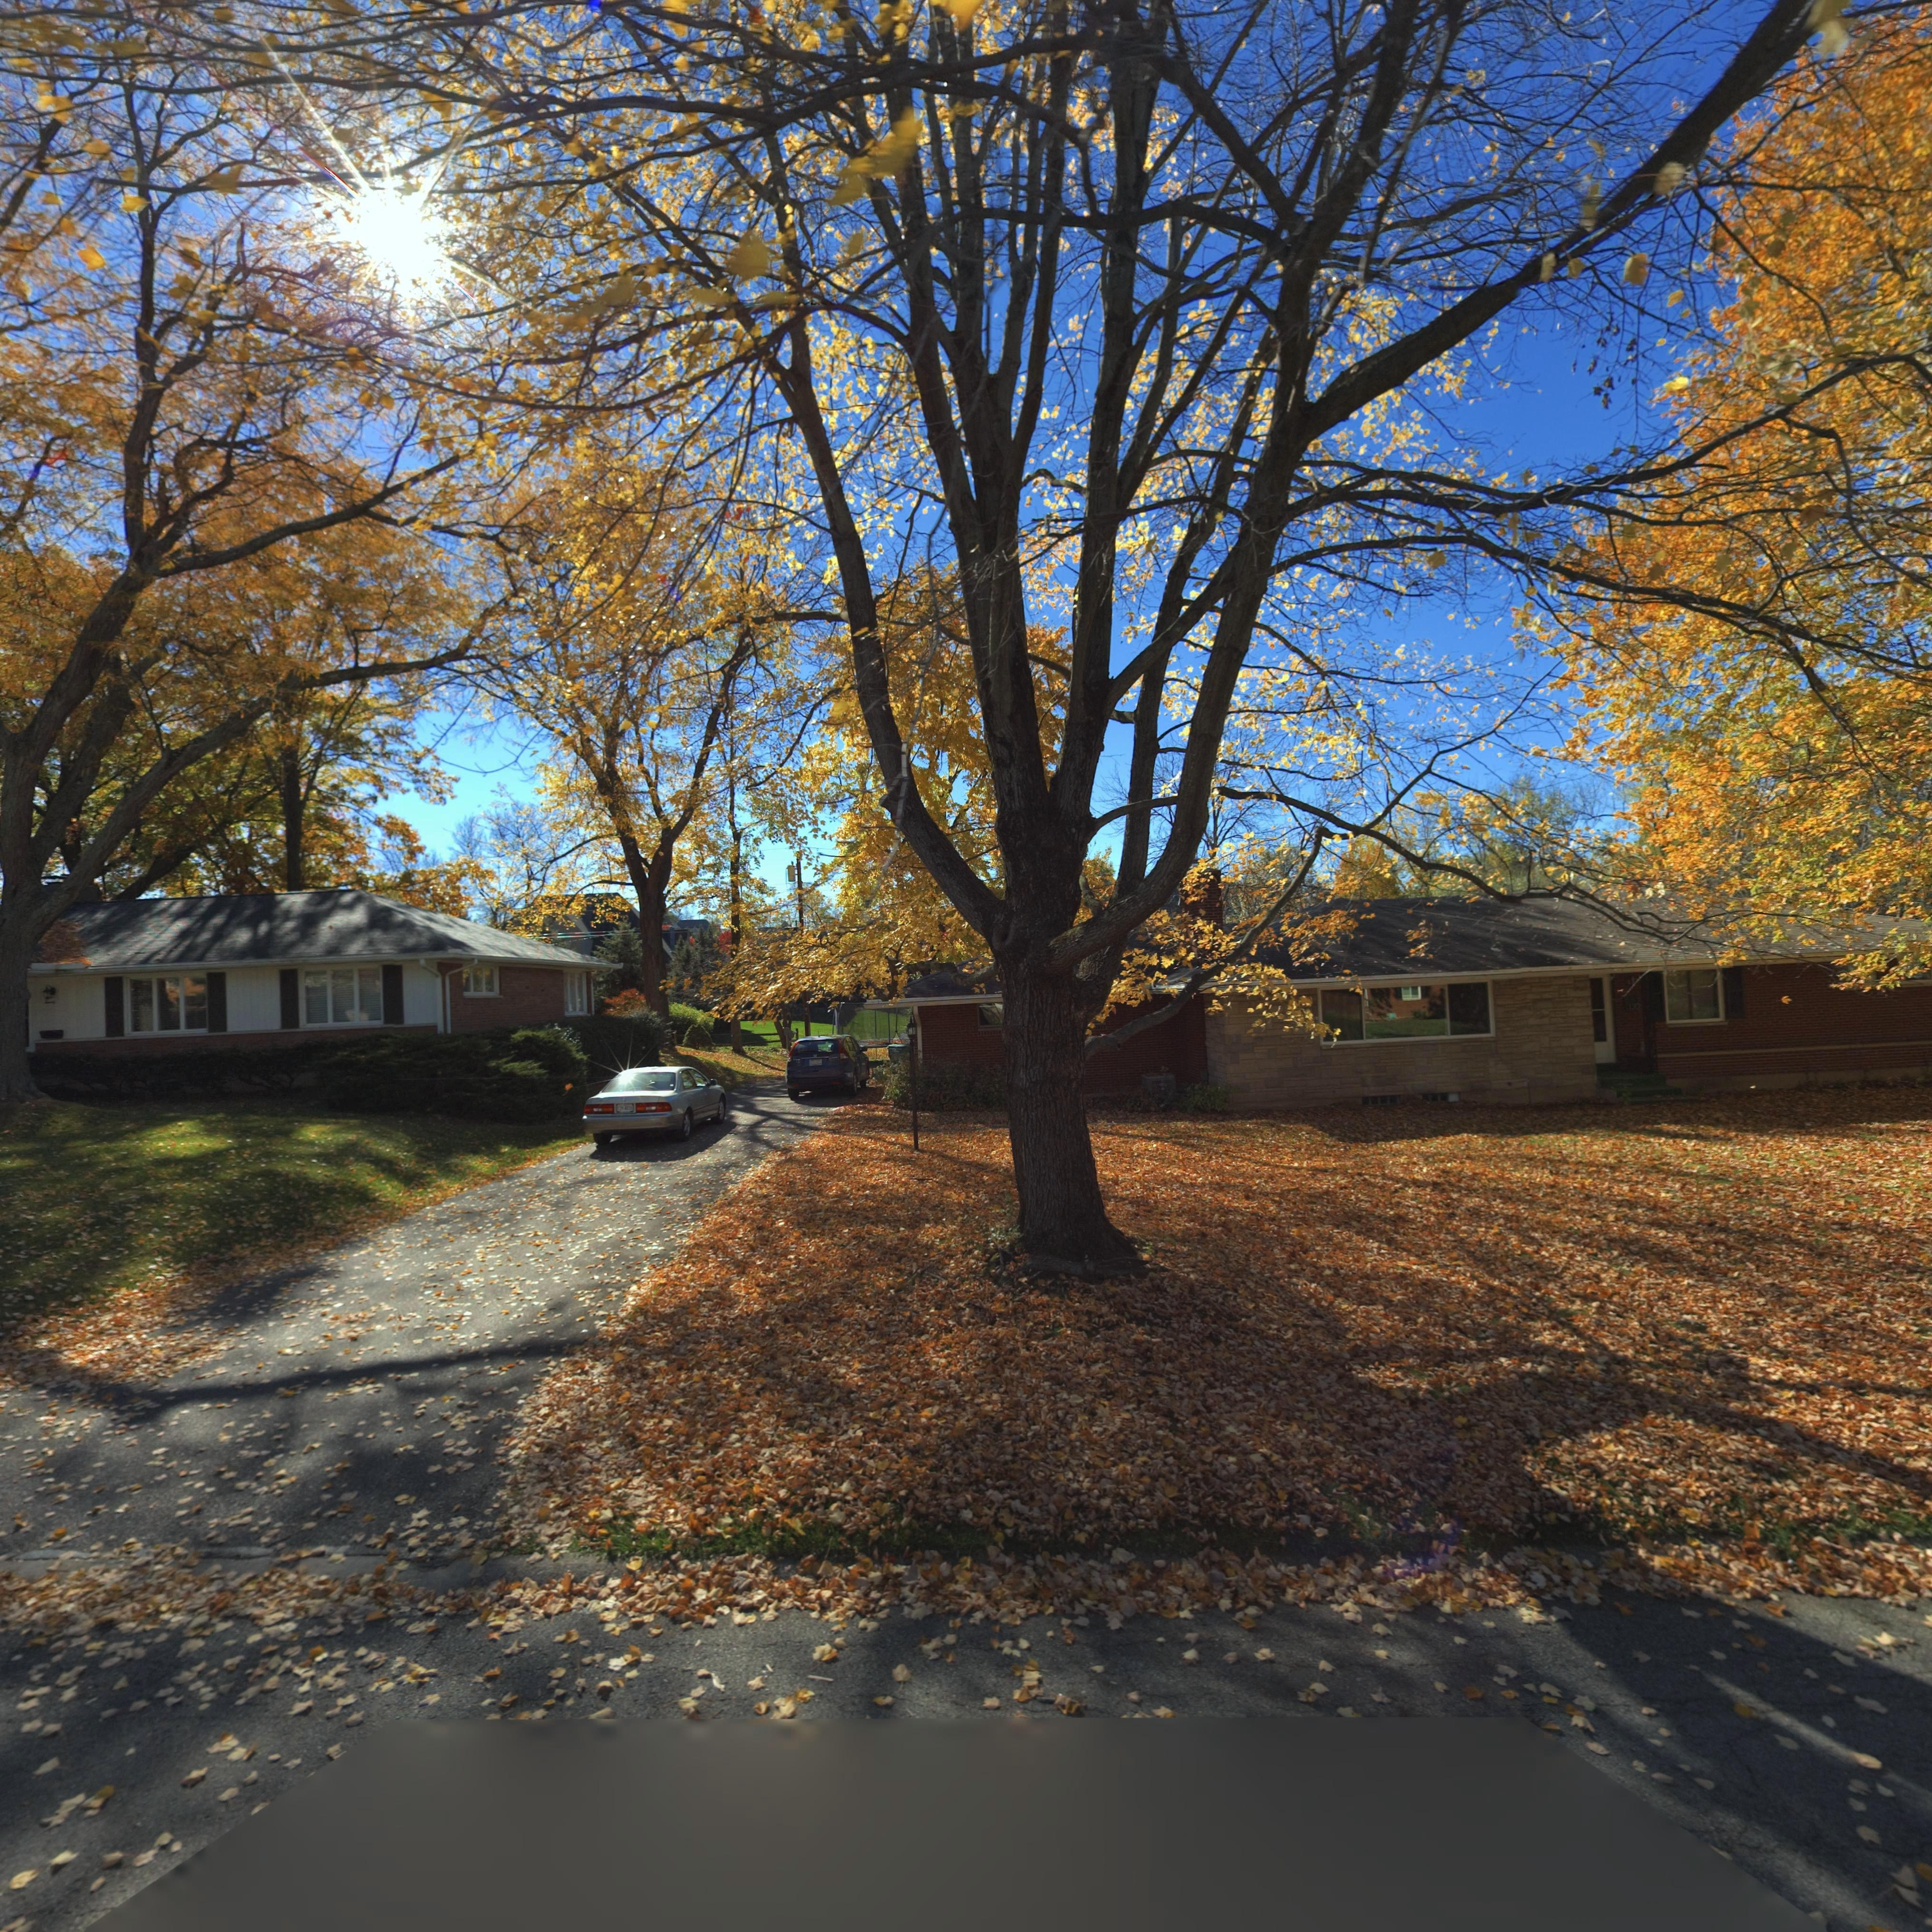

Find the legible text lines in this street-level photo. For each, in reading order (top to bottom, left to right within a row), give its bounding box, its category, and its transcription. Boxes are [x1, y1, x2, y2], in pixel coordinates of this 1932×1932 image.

[1626, 1002, 1641, 1010] StreetNumber: 130